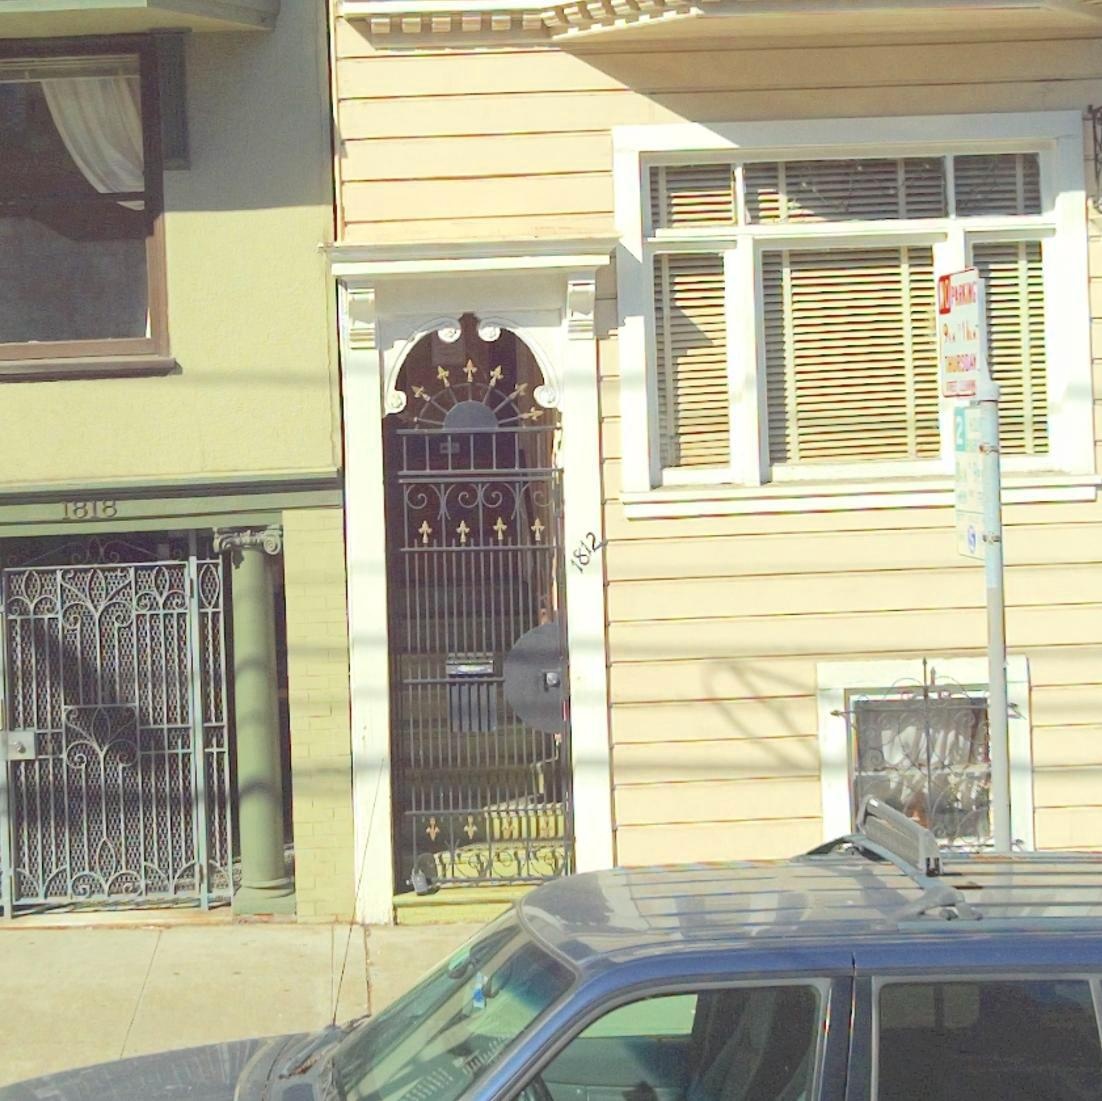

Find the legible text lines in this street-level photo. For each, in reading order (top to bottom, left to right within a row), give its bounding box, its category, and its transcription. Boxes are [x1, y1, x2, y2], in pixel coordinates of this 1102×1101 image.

[937, 276, 953, 313] None: NO
[939, 321, 950, 345] None: 9
[959, 316, 971, 343] None: 11
[942, 349, 980, 376] None: THURSDAY
[953, 413, 965, 448] None: 2
[60, 497, 118, 522] StreetNumber: 1818
[566, 527, 608, 578] StreetNumber: 1812
[966, 525, 978, 553] None: S